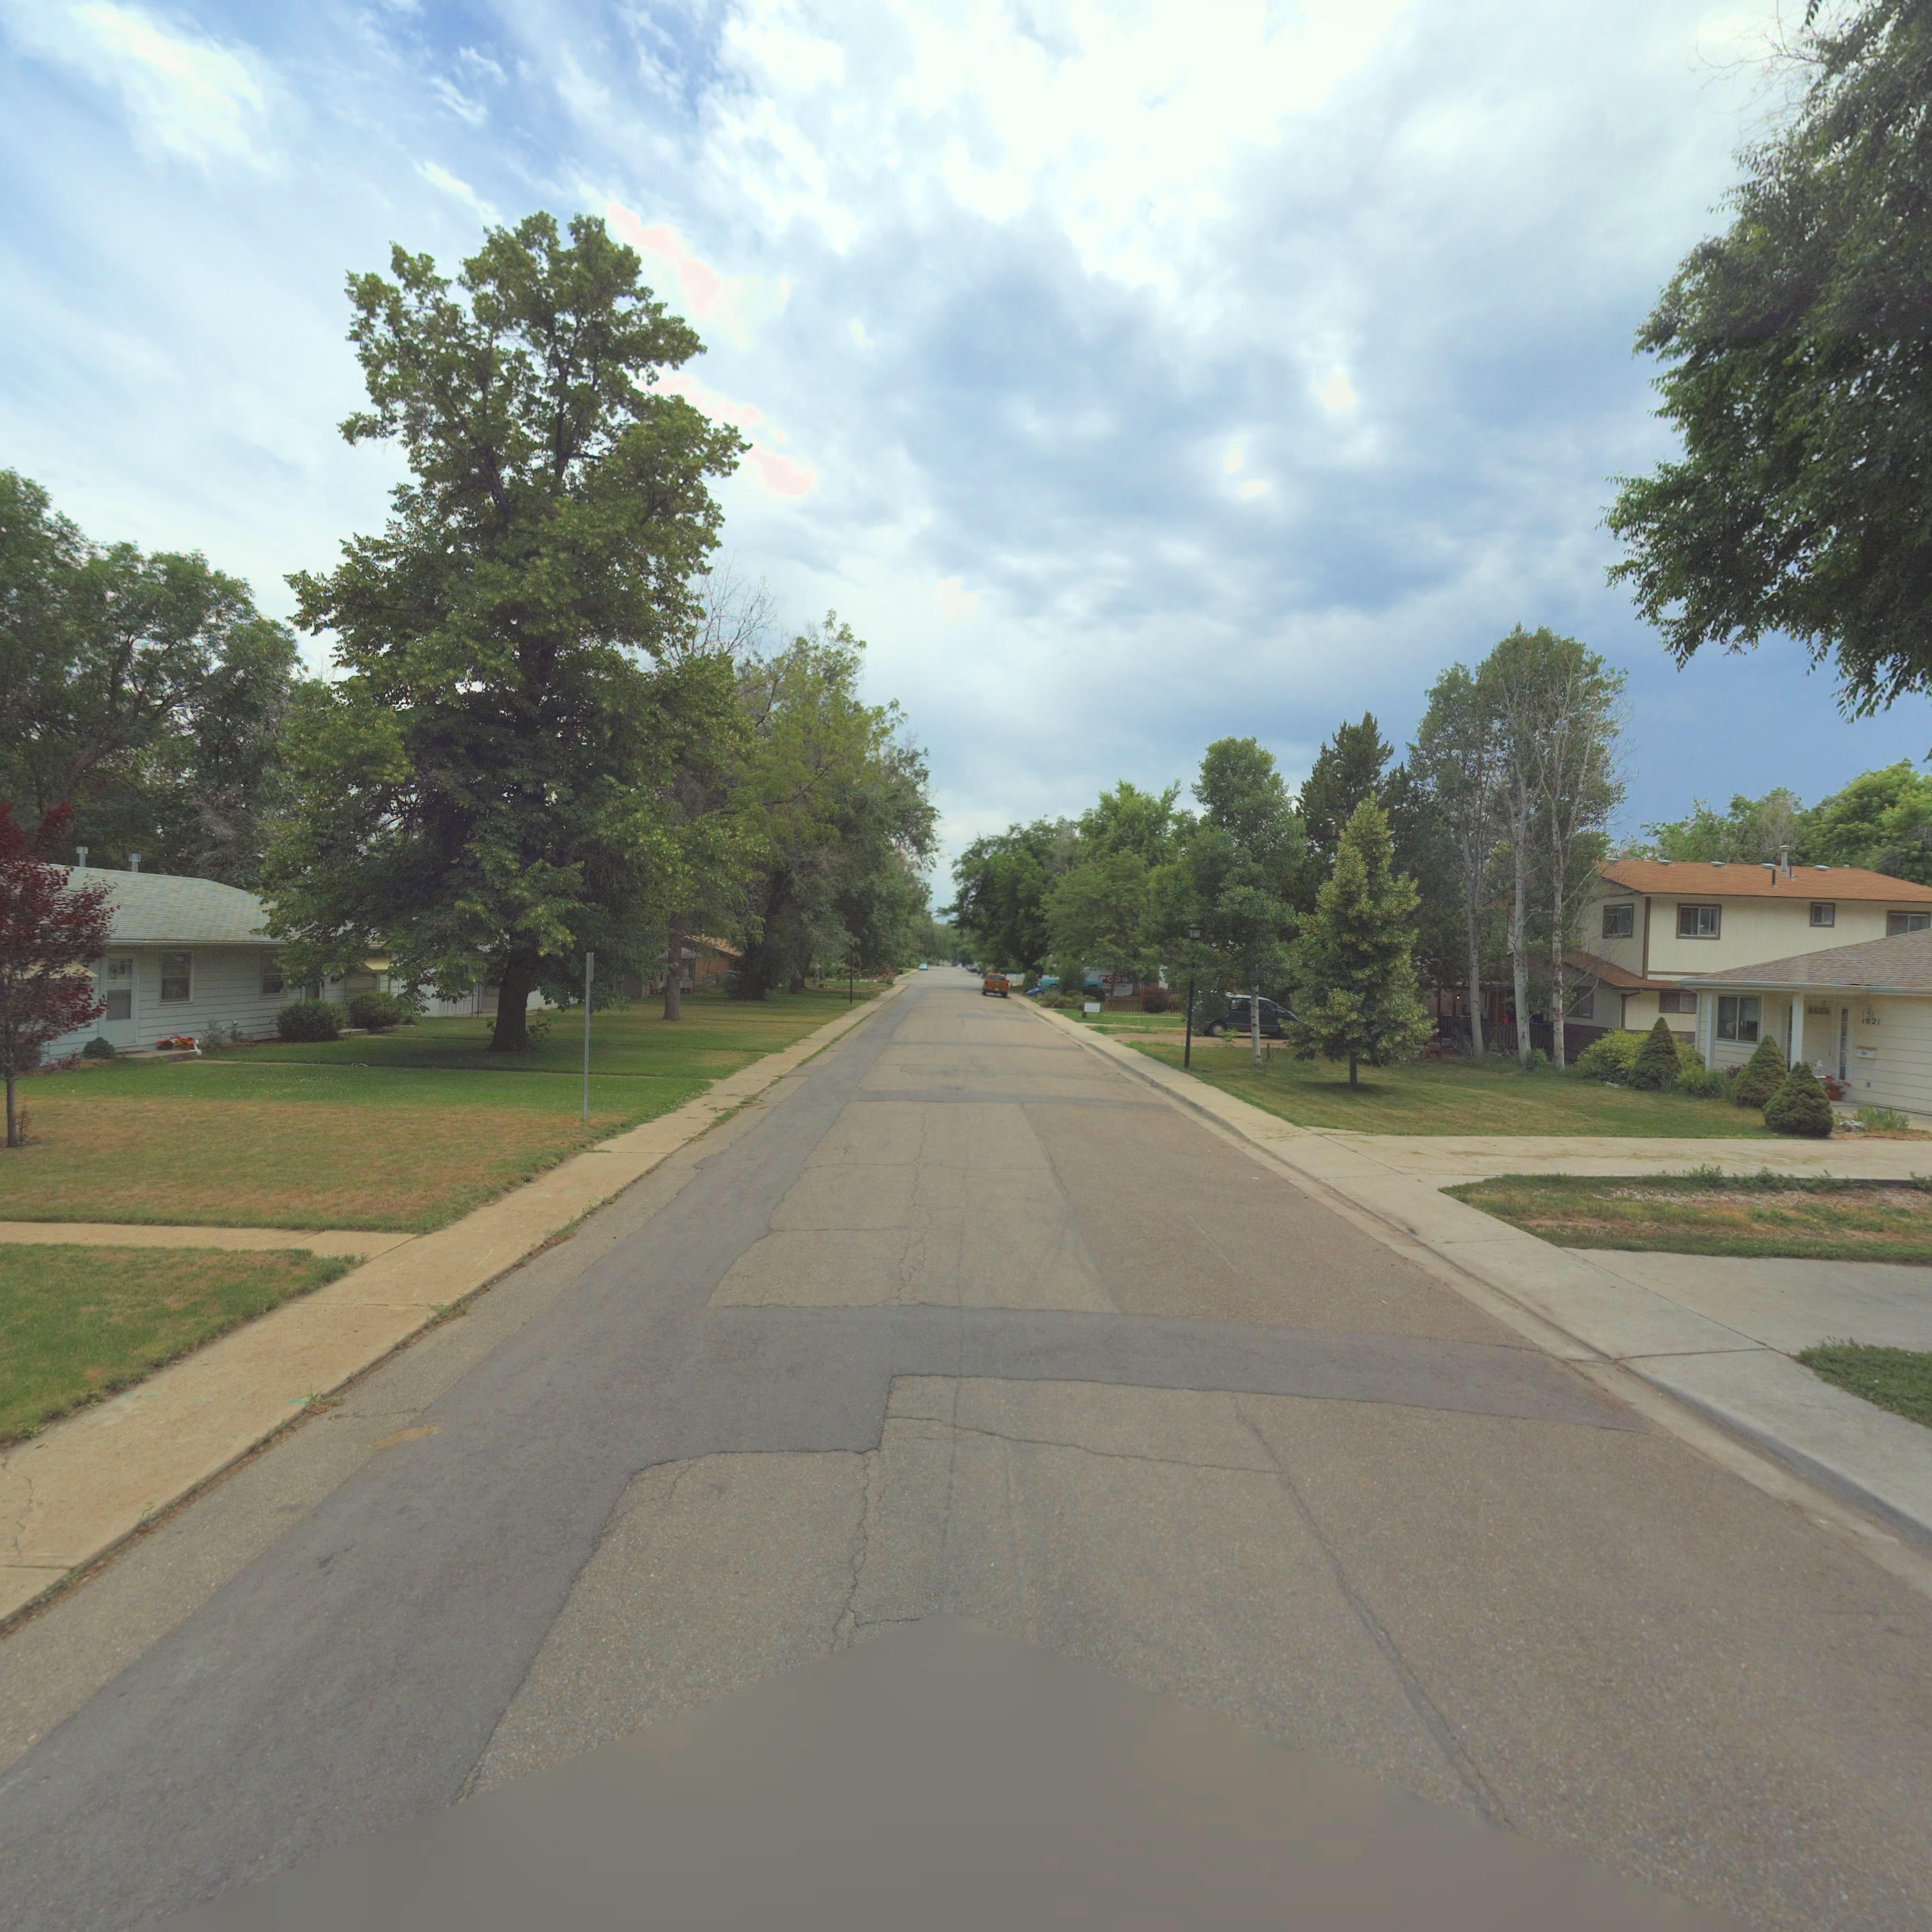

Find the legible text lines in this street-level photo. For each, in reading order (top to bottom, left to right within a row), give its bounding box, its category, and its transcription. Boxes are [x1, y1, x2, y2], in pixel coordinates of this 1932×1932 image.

[1861, 1017, 1881, 1025] StreetNumber: 1021